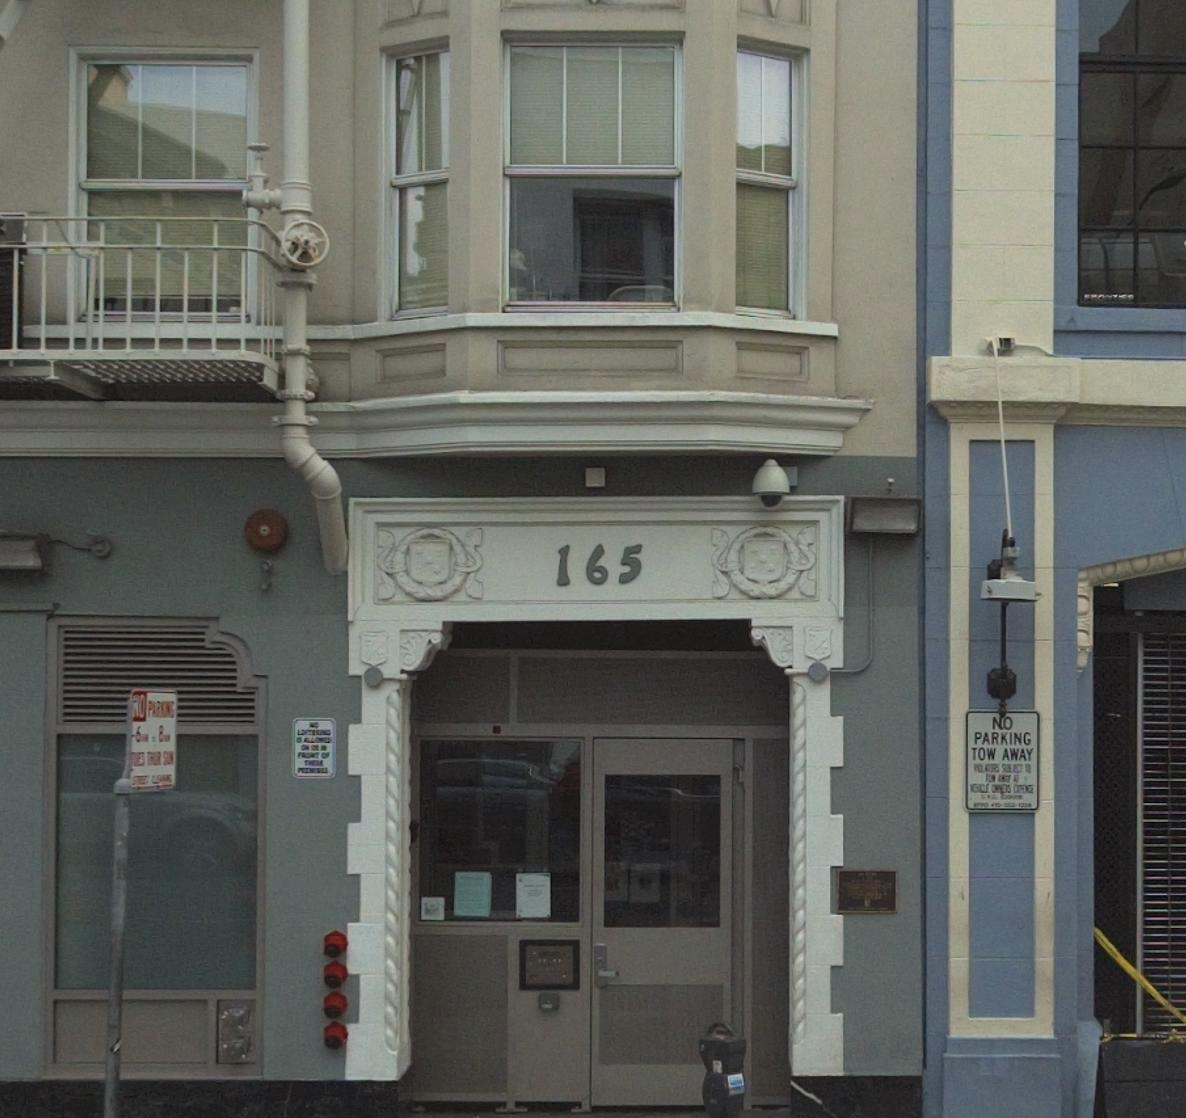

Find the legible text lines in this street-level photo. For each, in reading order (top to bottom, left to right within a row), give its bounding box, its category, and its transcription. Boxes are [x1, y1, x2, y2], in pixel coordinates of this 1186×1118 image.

[554, 540, 646, 589] StreetNumber: 165
[137, 691, 147, 721] None: O
[134, 723, 143, 745] None: 6
[156, 723, 167, 746] None: 8
[990, 714, 1016, 732] None: NO
[971, 729, 1035, 748] None: PARKING
[969, 745, 1036, 764] None: TOW AWAY